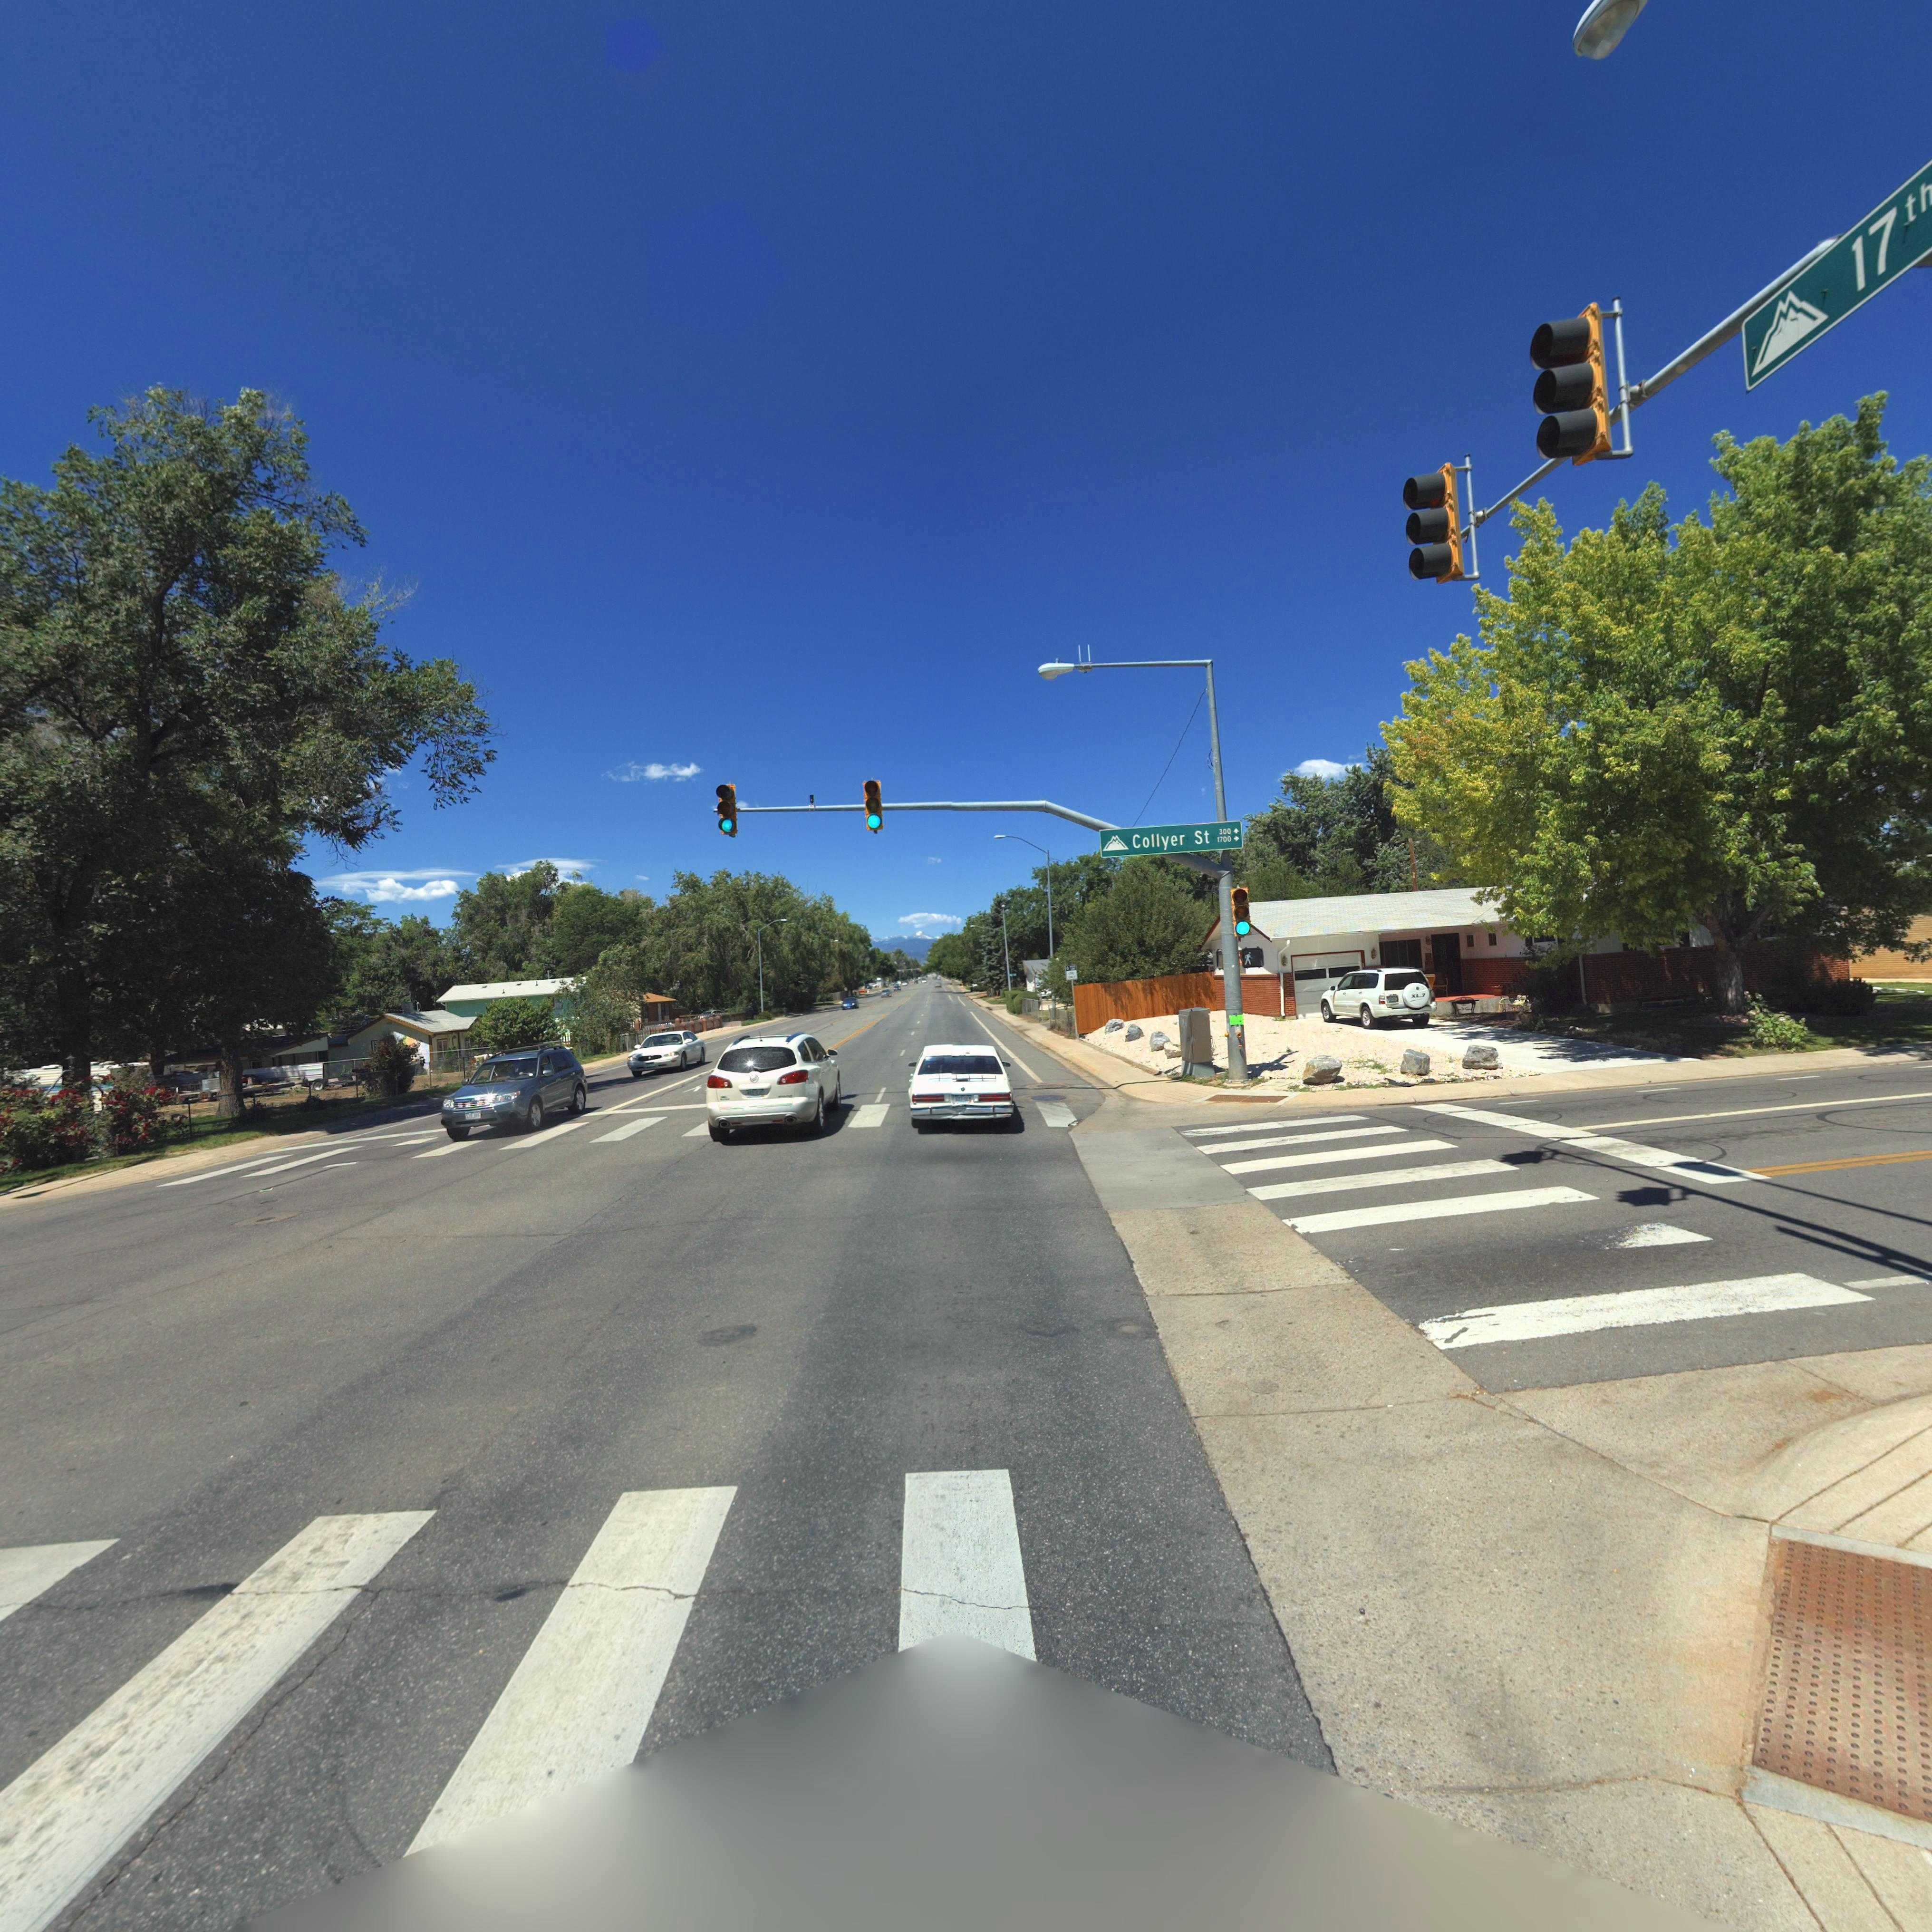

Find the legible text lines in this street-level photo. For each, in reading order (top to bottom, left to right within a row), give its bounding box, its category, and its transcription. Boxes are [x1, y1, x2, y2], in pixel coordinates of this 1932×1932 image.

[1849, 192, 1917, 293] StreetName: 17t
[1218, 828, 1231, 835] StreetNumberRange: 300
[1132, 830, 1210, 850] StreetName: Collyer St
[1216, 835, 1240, 842] StreetNumberRange: 1700->
[1423, 946, 1431, 952] StreetNumber: 1***